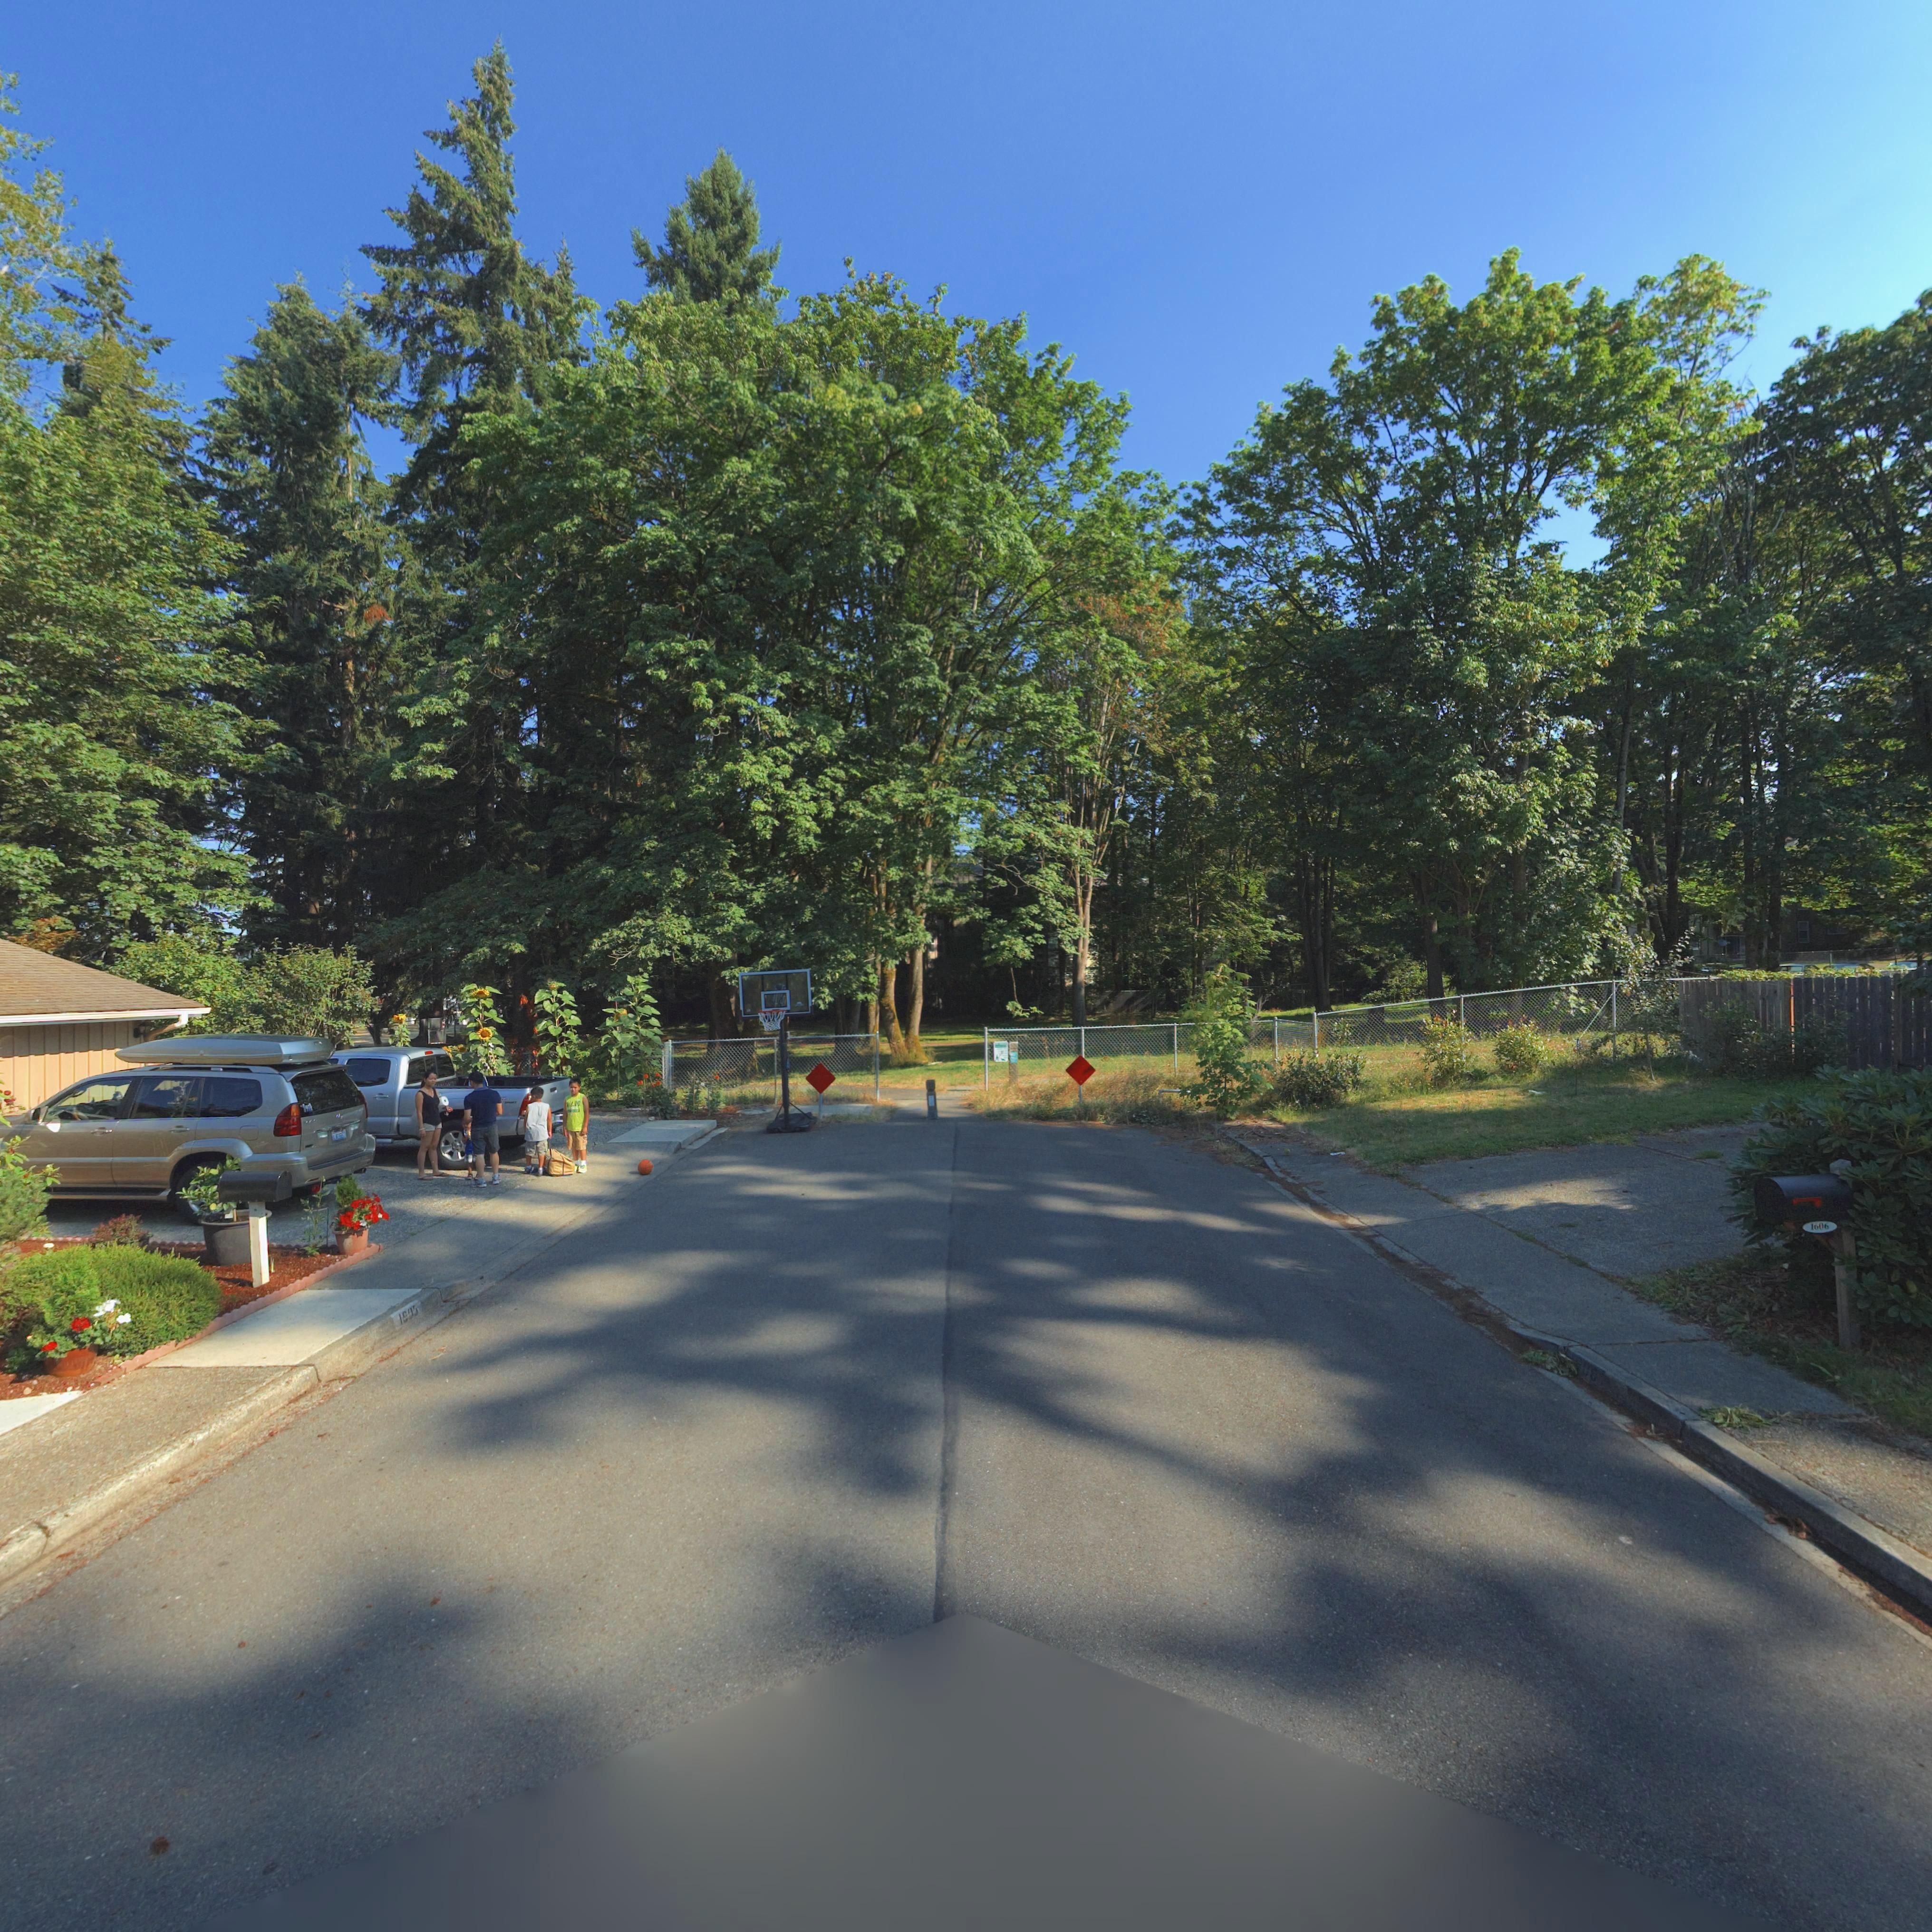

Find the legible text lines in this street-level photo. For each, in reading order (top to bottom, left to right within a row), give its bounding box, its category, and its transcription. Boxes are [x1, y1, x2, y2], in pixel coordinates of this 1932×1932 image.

[399, 1304, 418, 1325] StreetNumber: 180*